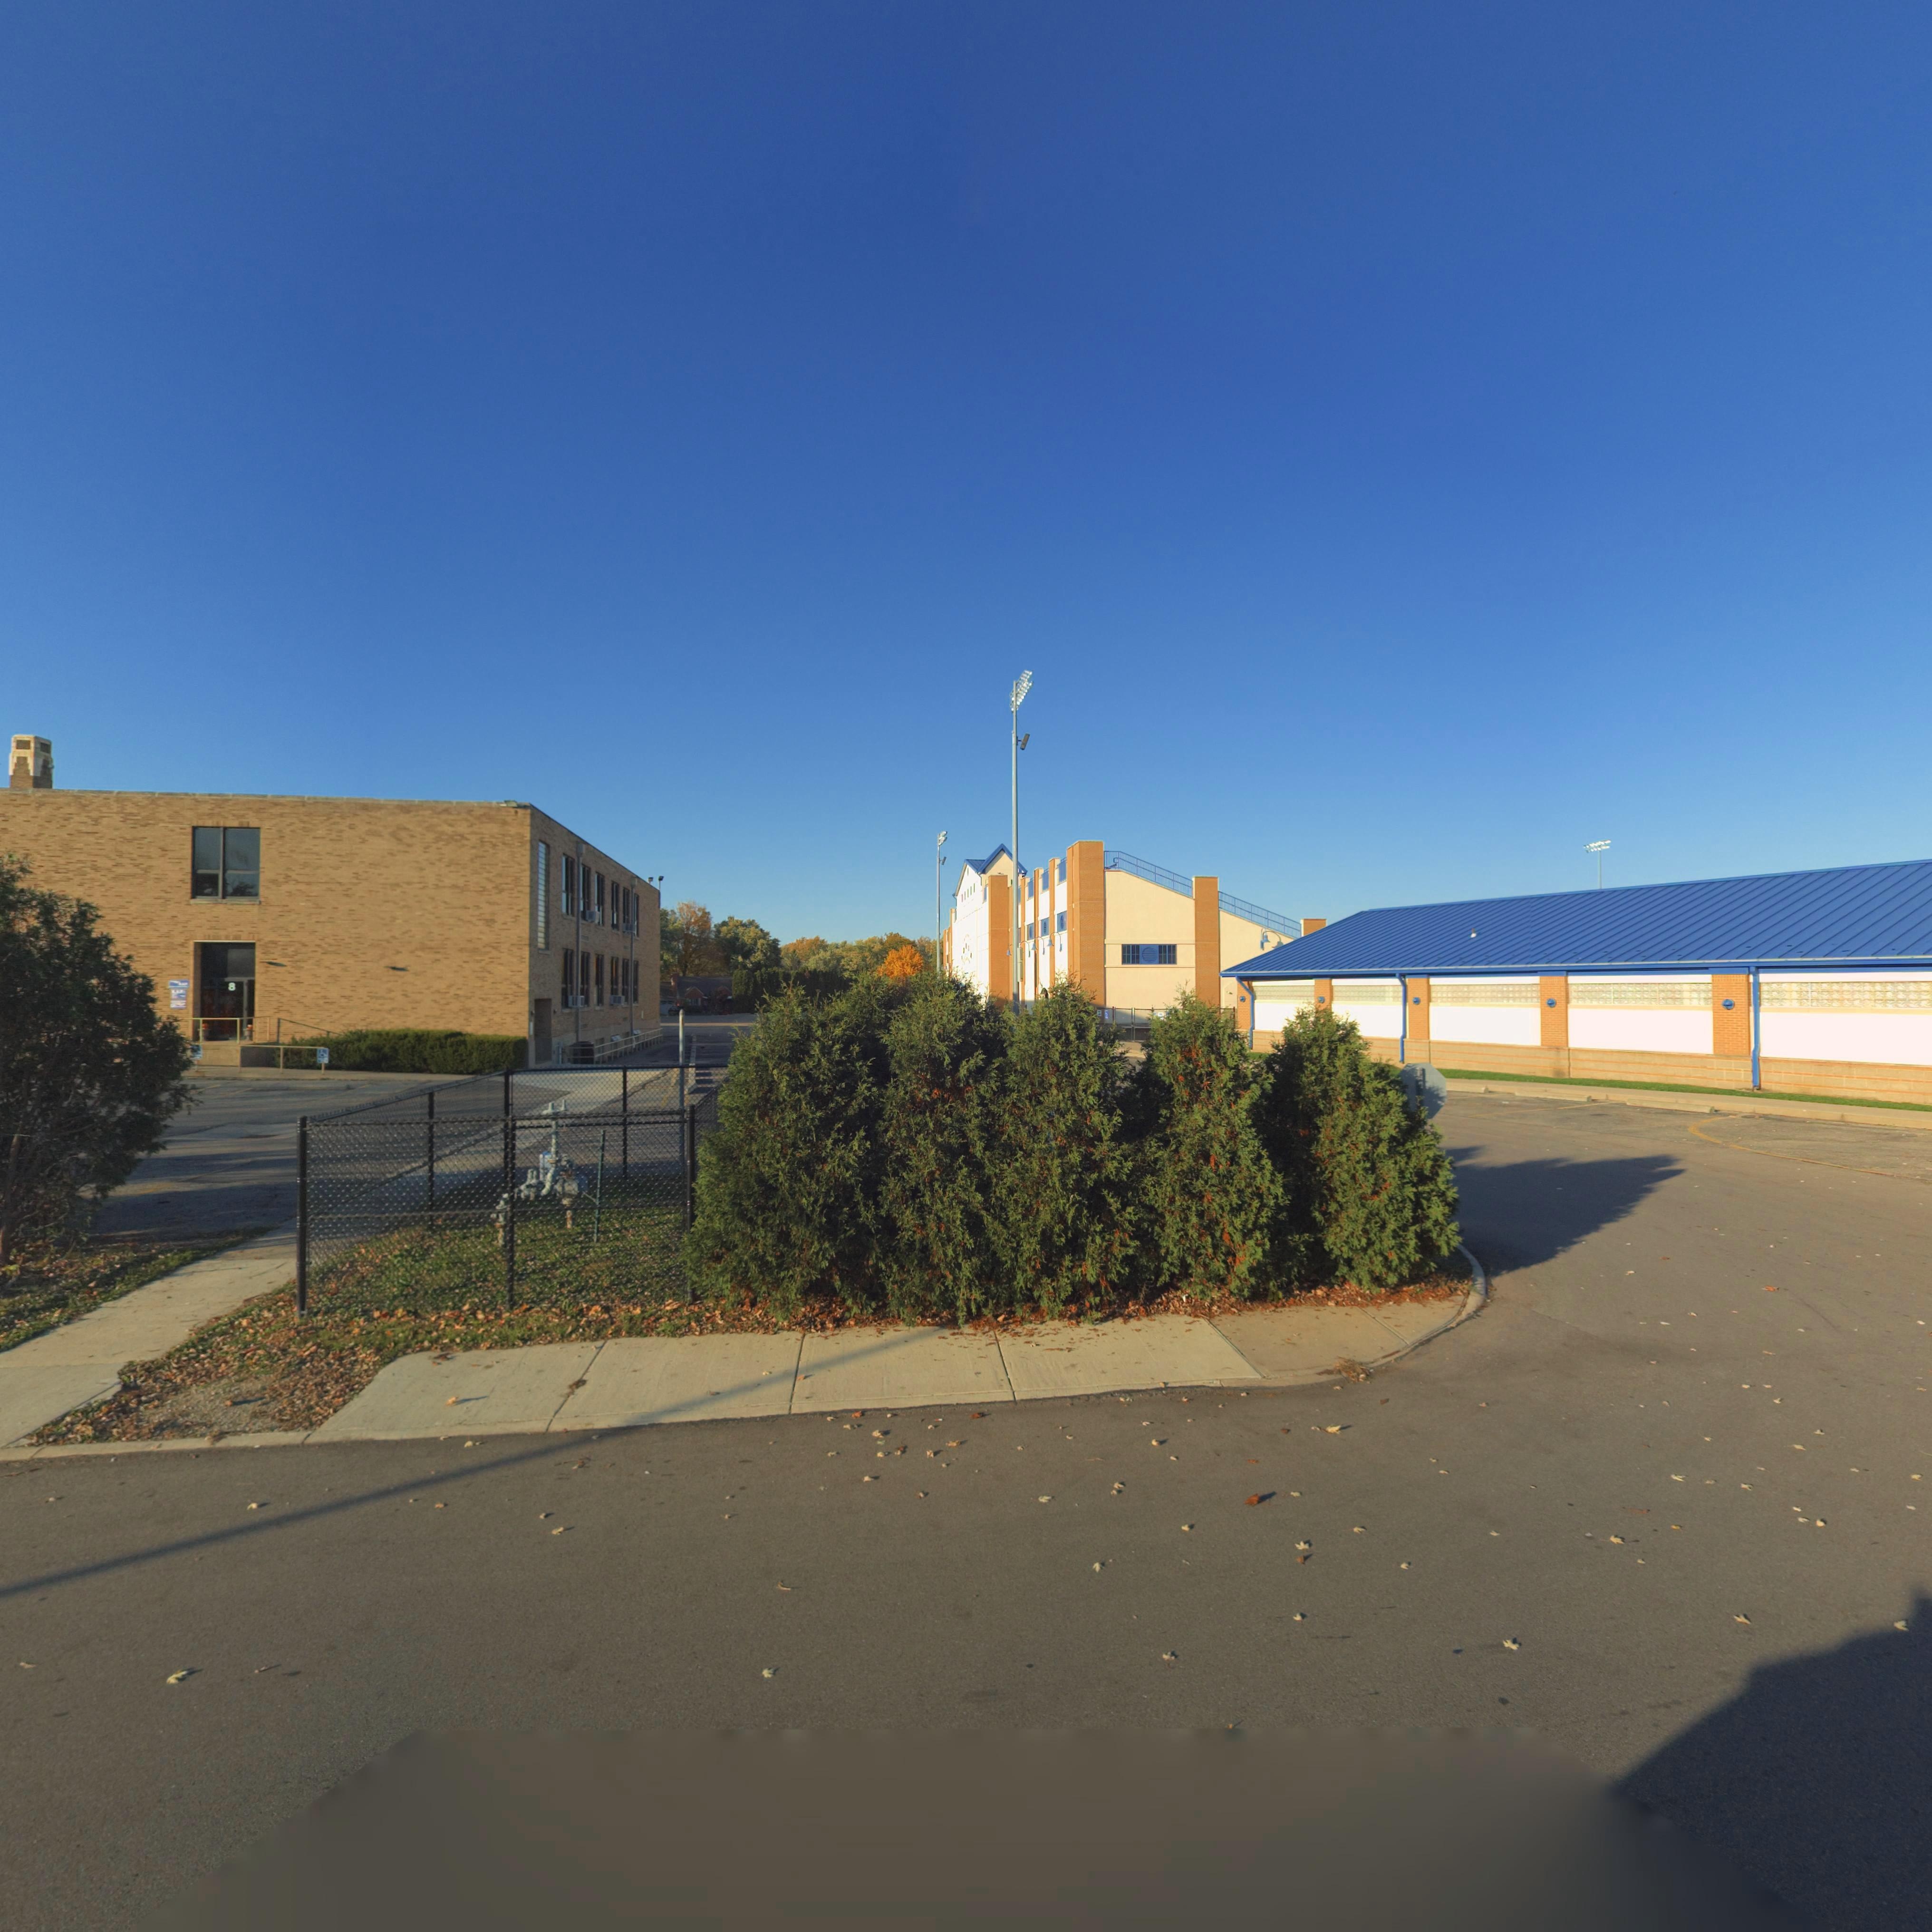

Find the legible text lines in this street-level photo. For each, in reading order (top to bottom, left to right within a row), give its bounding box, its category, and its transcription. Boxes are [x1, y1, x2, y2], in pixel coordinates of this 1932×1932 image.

[228, 982, 236, 991] StreetNumber: 8